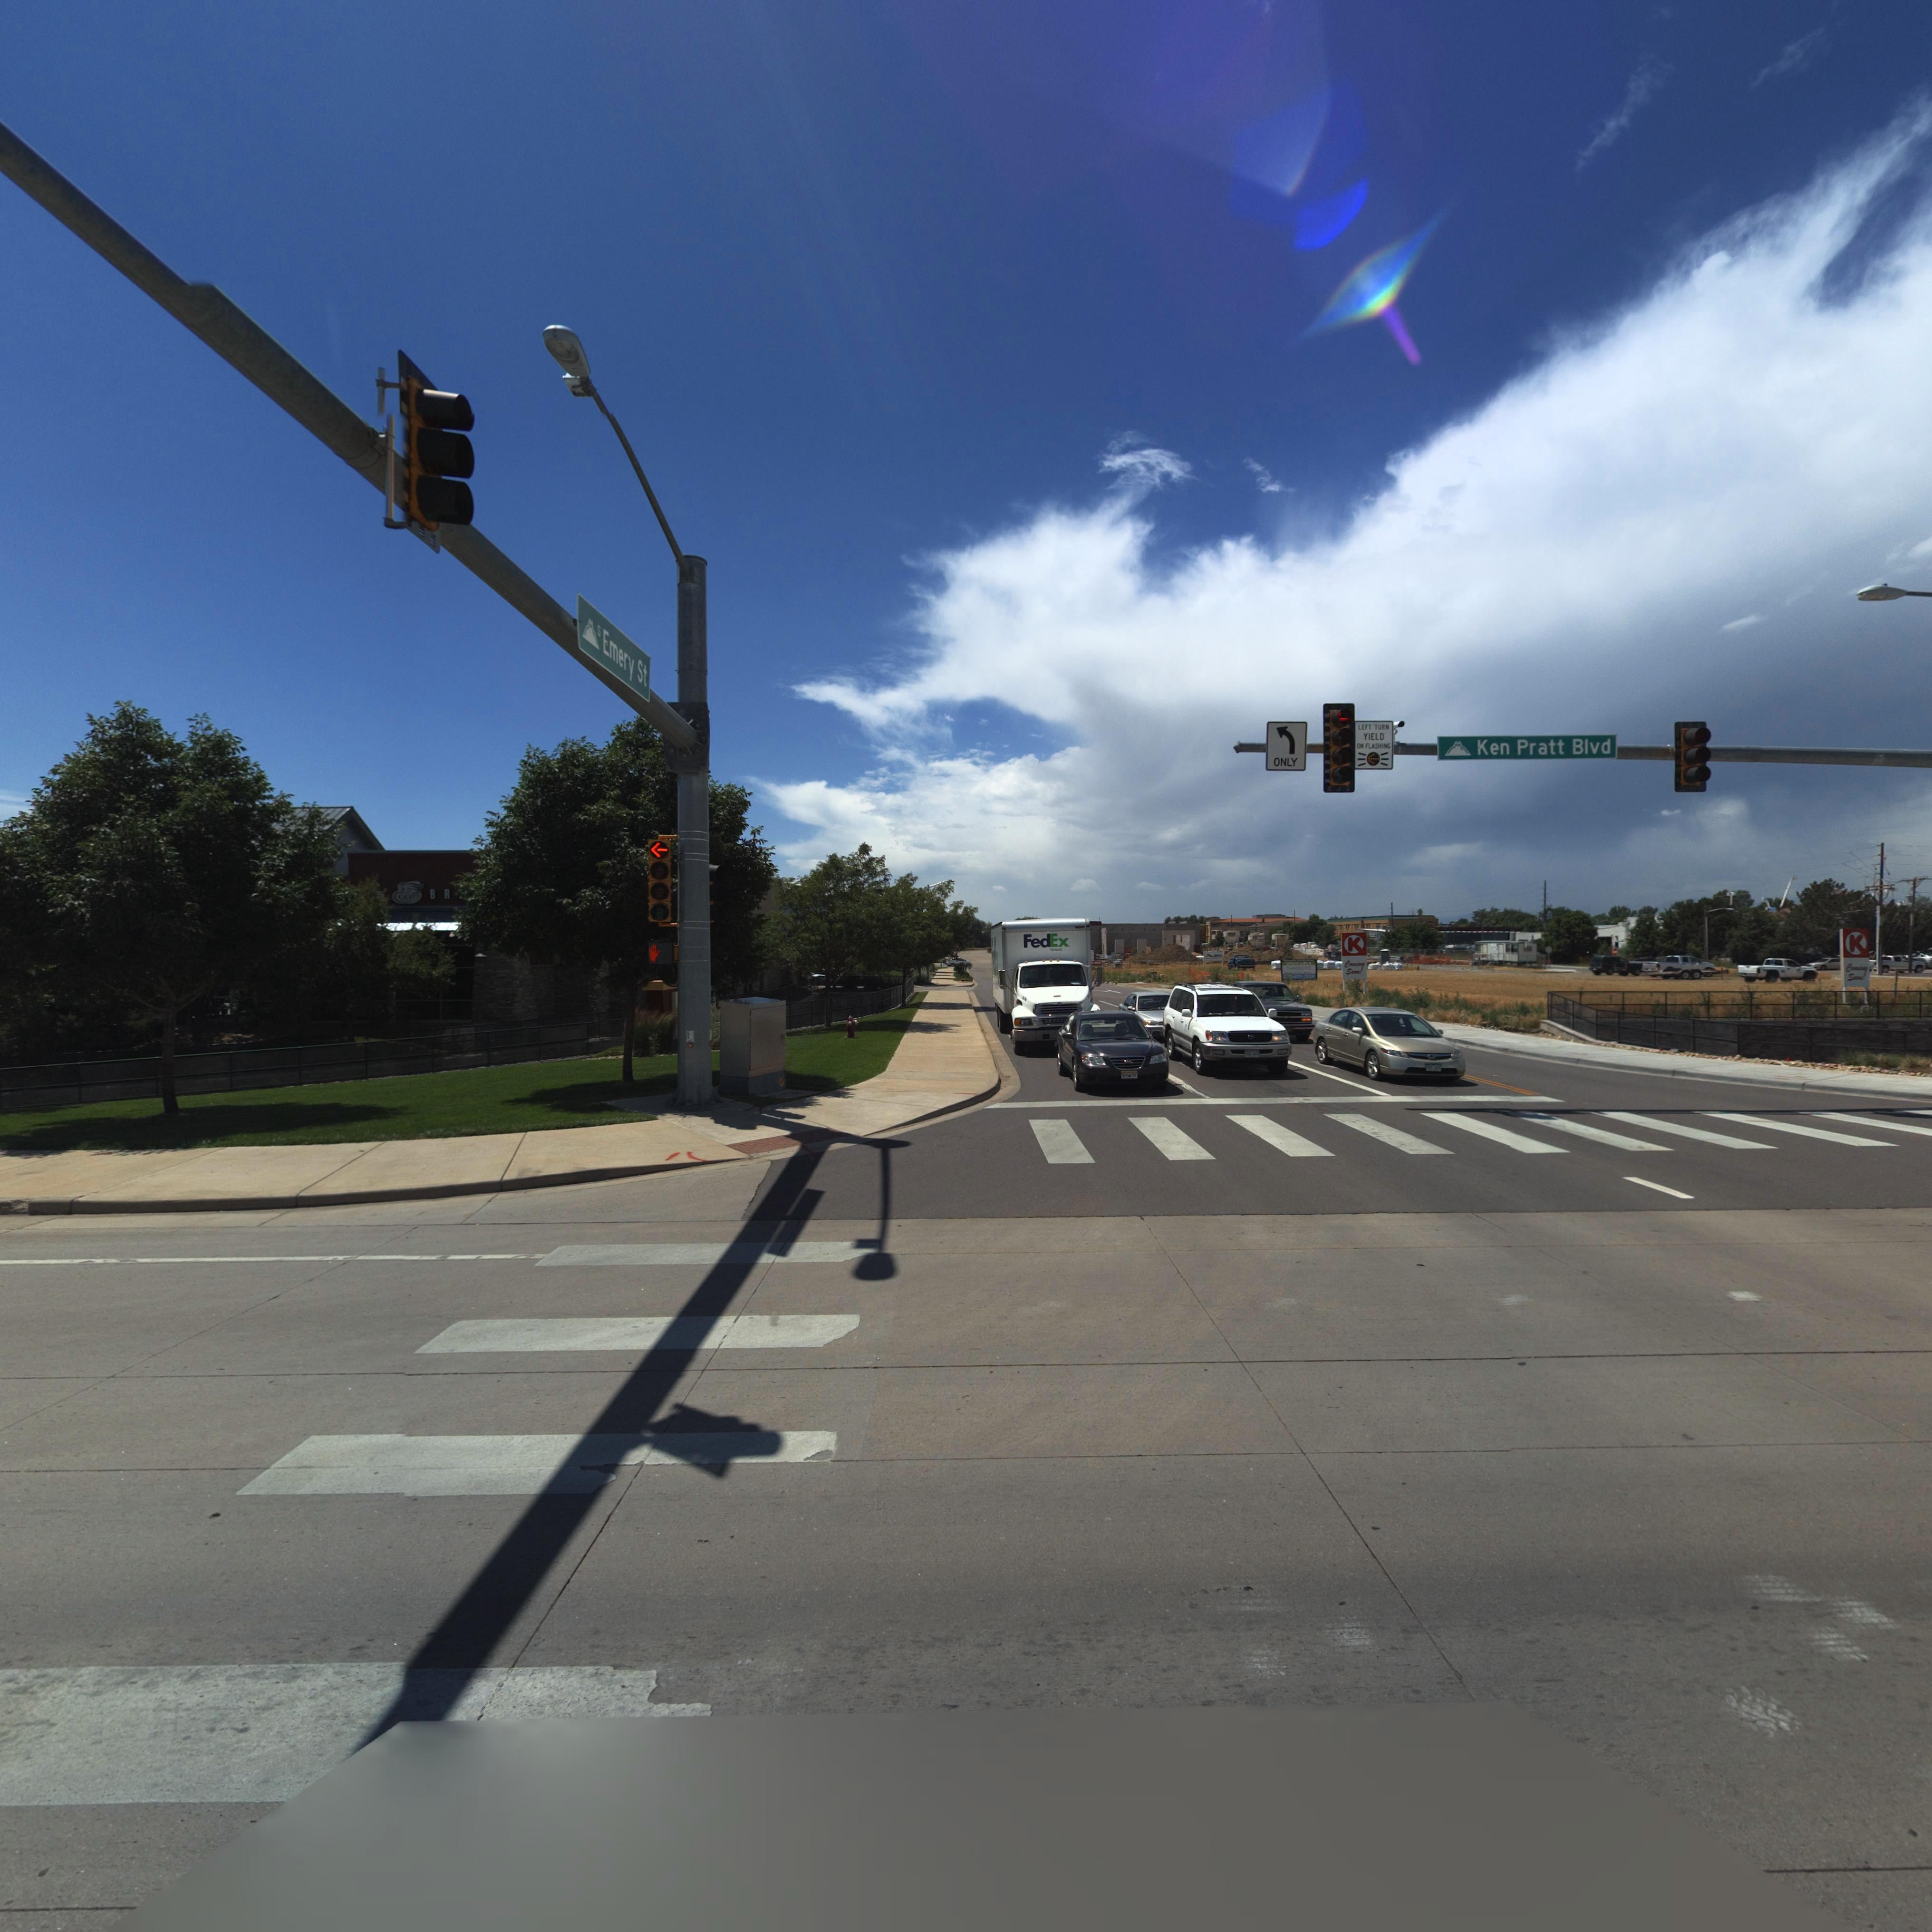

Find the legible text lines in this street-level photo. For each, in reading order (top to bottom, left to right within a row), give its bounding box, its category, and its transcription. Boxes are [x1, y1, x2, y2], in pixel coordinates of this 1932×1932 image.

[596, 623, 647, 687] StreetName: S Emery St
[1477, 738, 1611, 755] StreetName: Ken Pratt Blvd
[430, 889, 450, 899] BusinessName: BR